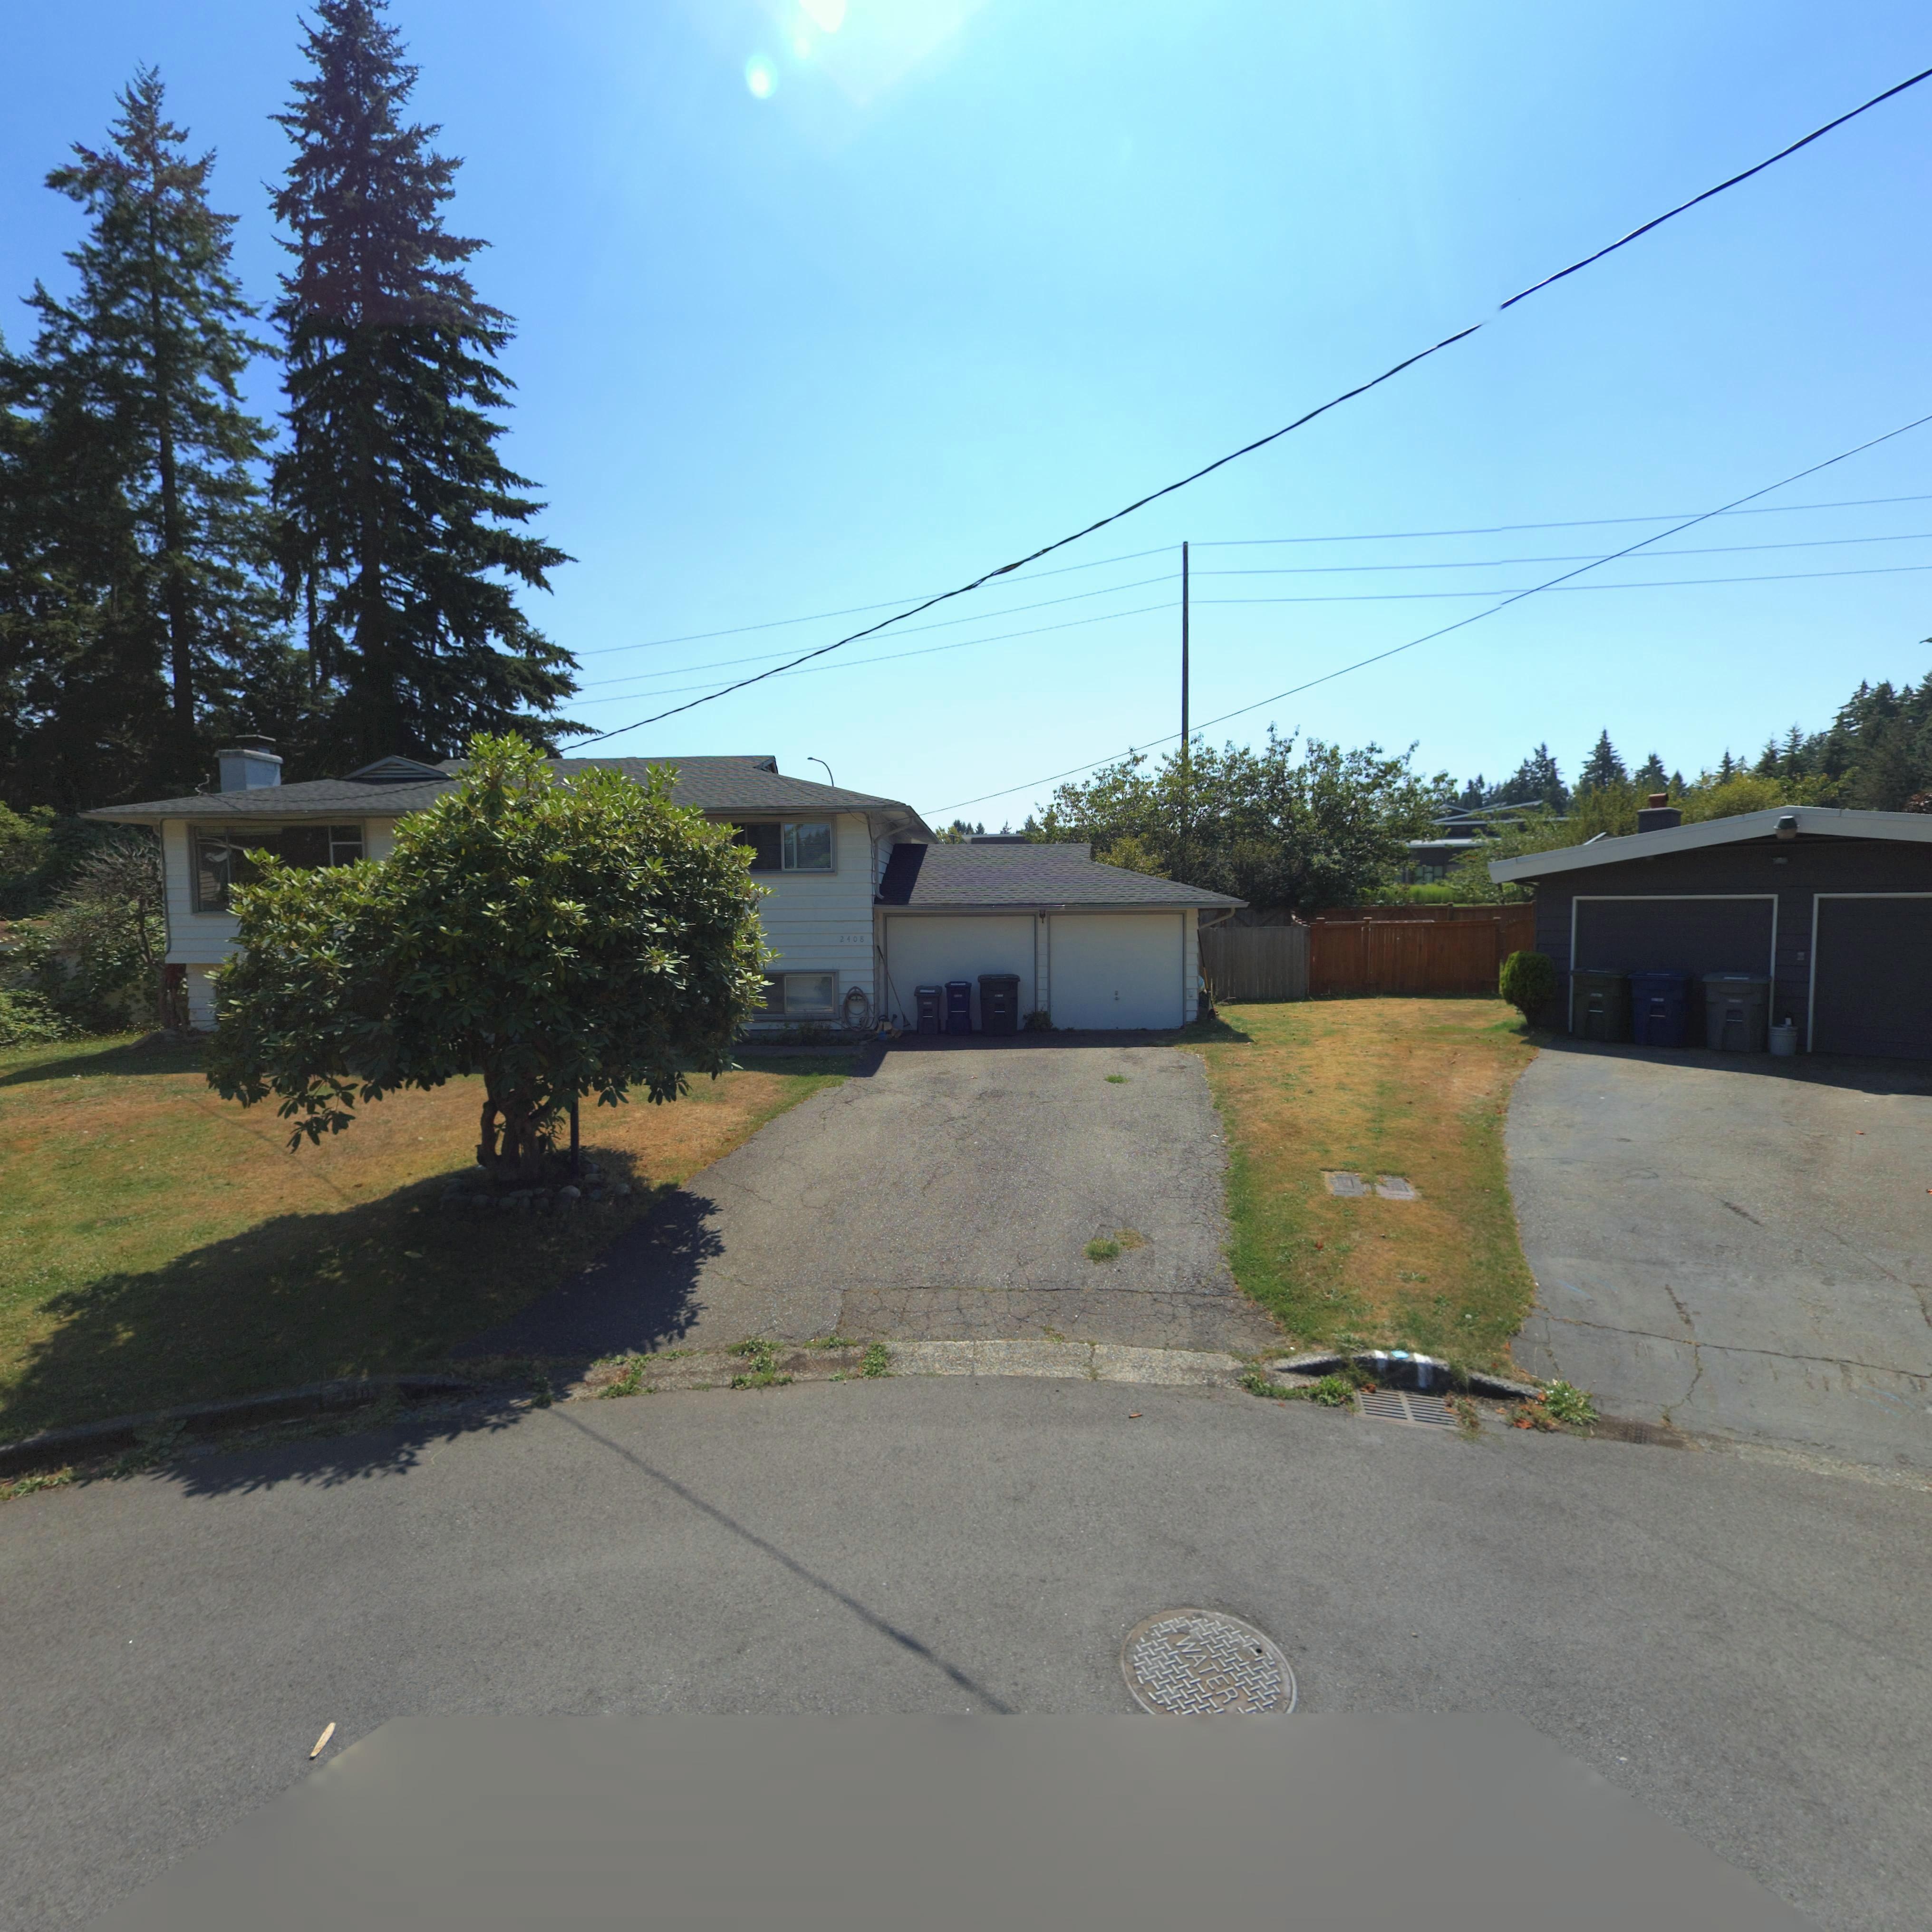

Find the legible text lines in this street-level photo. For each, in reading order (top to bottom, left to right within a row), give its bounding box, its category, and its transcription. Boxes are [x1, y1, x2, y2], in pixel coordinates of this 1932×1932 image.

[839, 935, 864, 943] StreetNumber: 2408